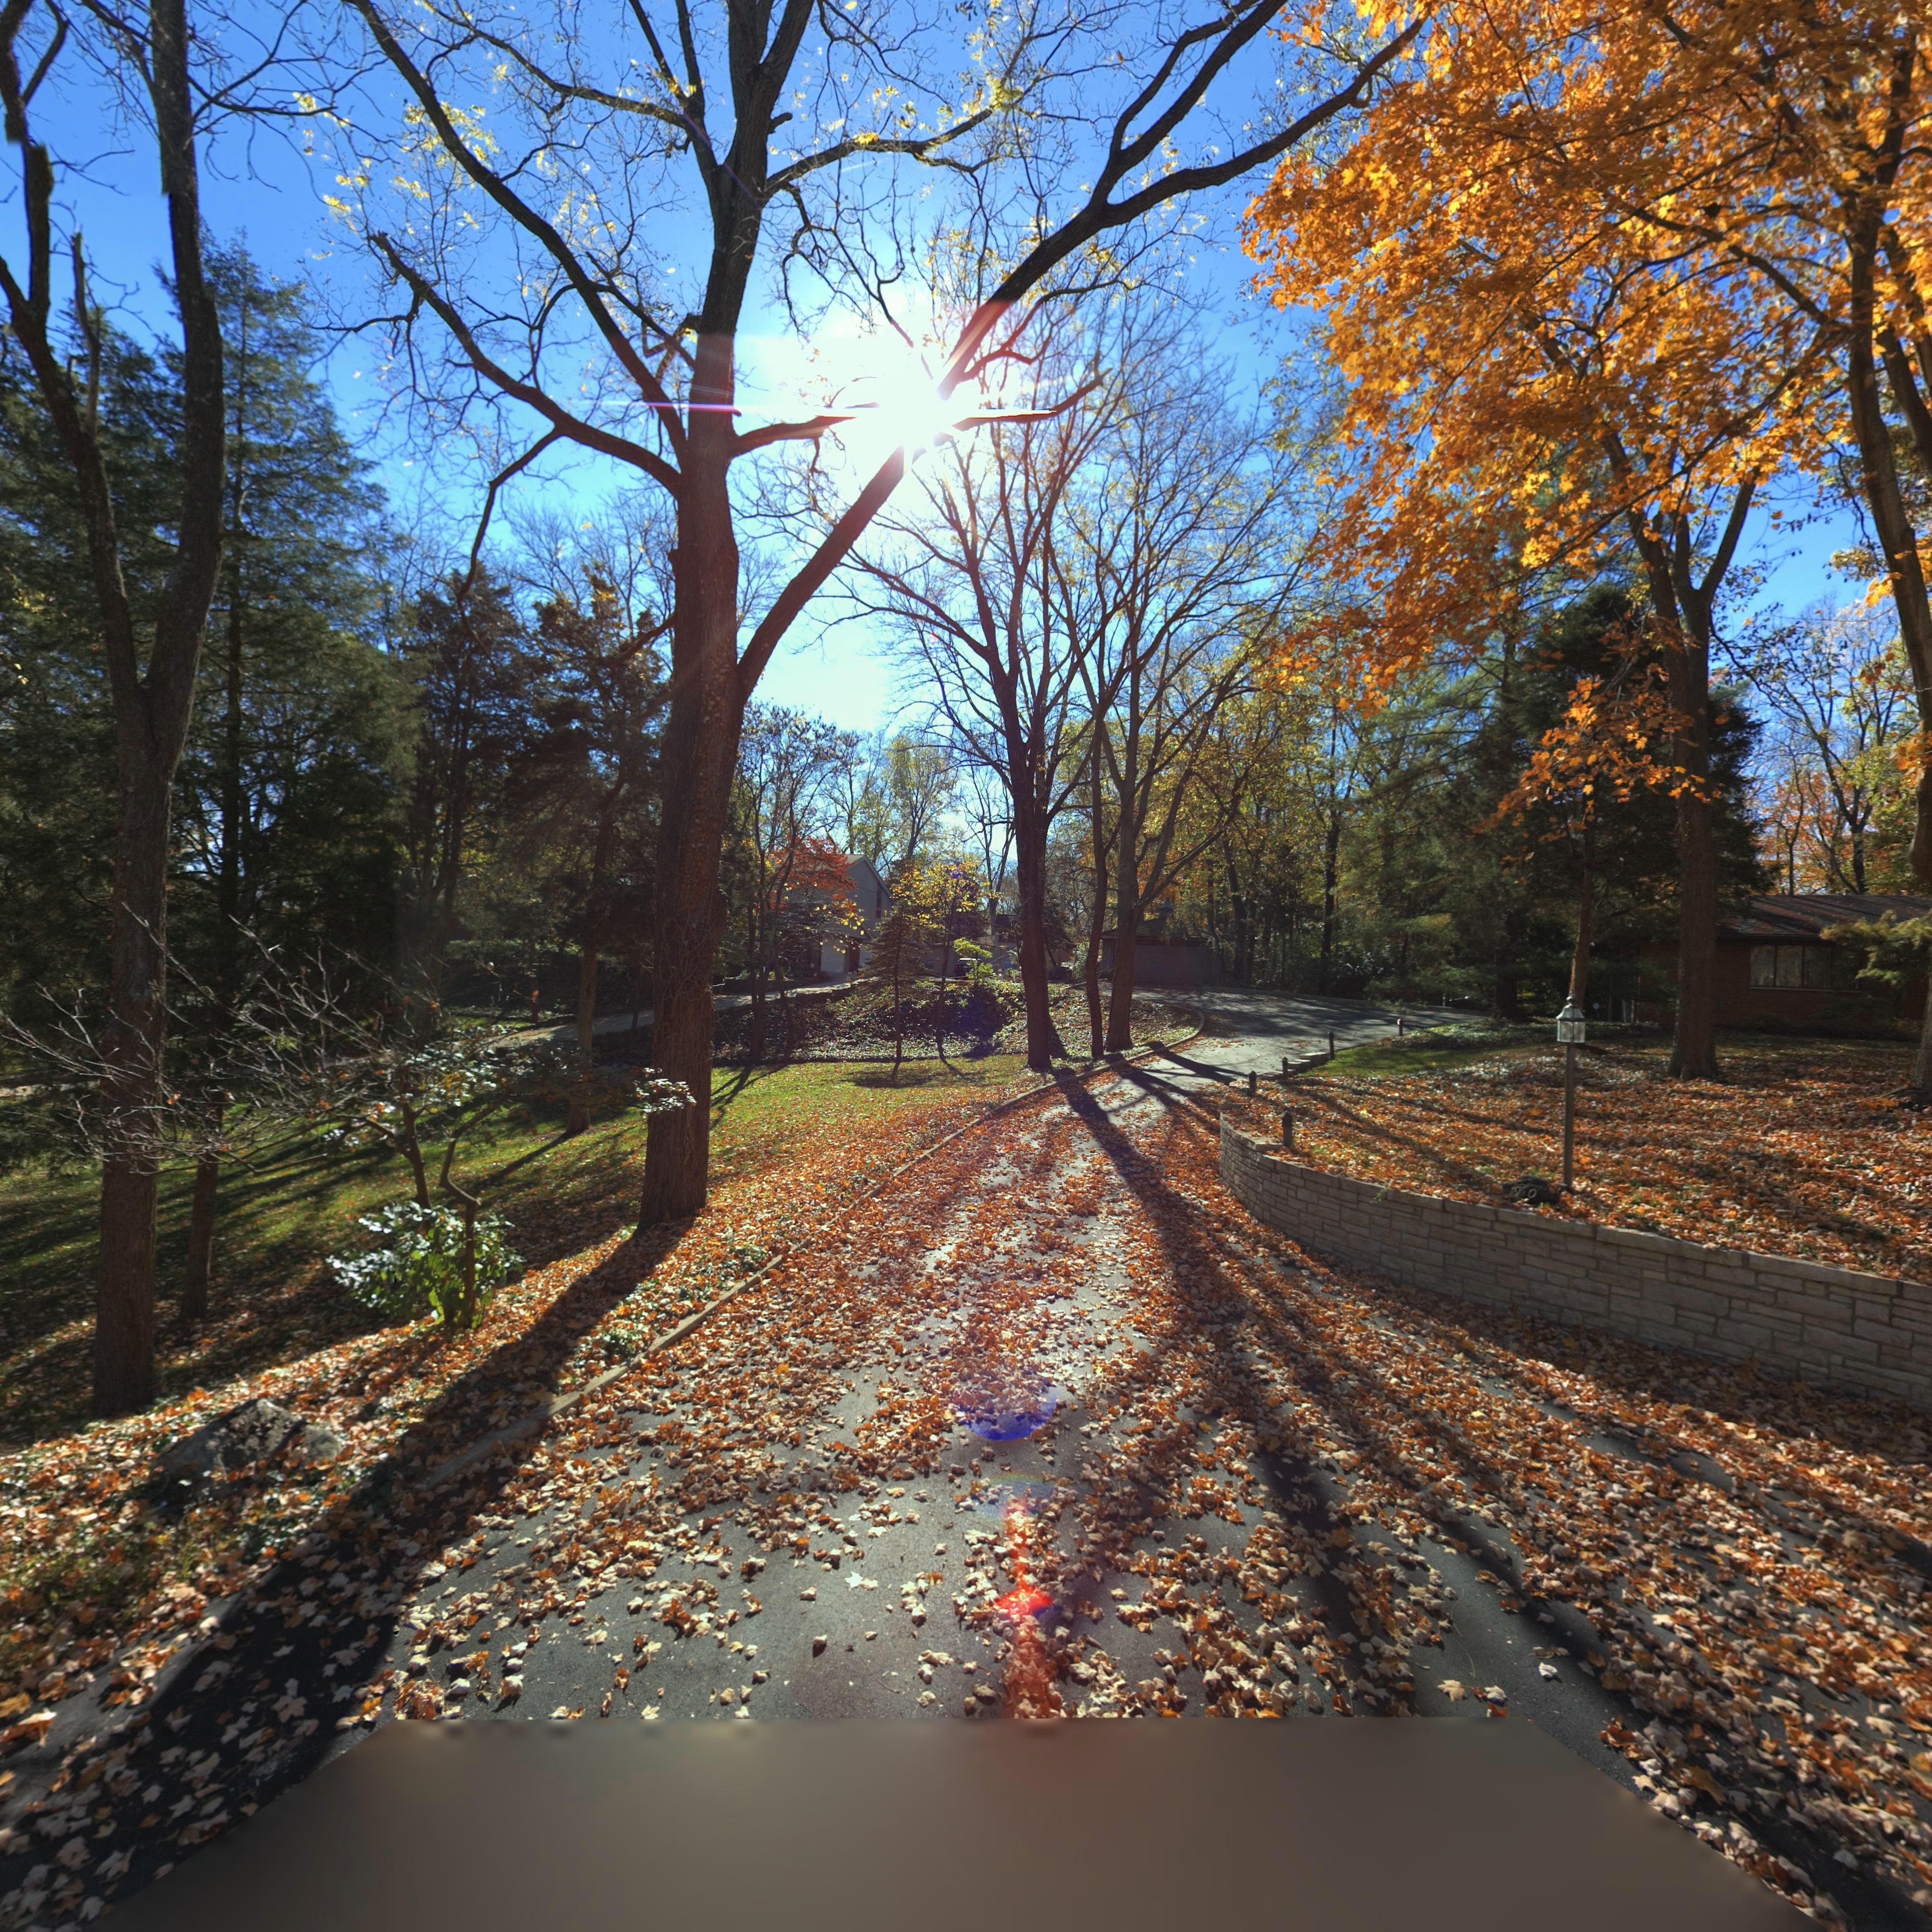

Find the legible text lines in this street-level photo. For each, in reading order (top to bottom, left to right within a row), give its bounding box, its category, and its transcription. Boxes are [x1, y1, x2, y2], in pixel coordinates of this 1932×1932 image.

[1507, 1185, 1538, 1199] StreetNumber: *9*0